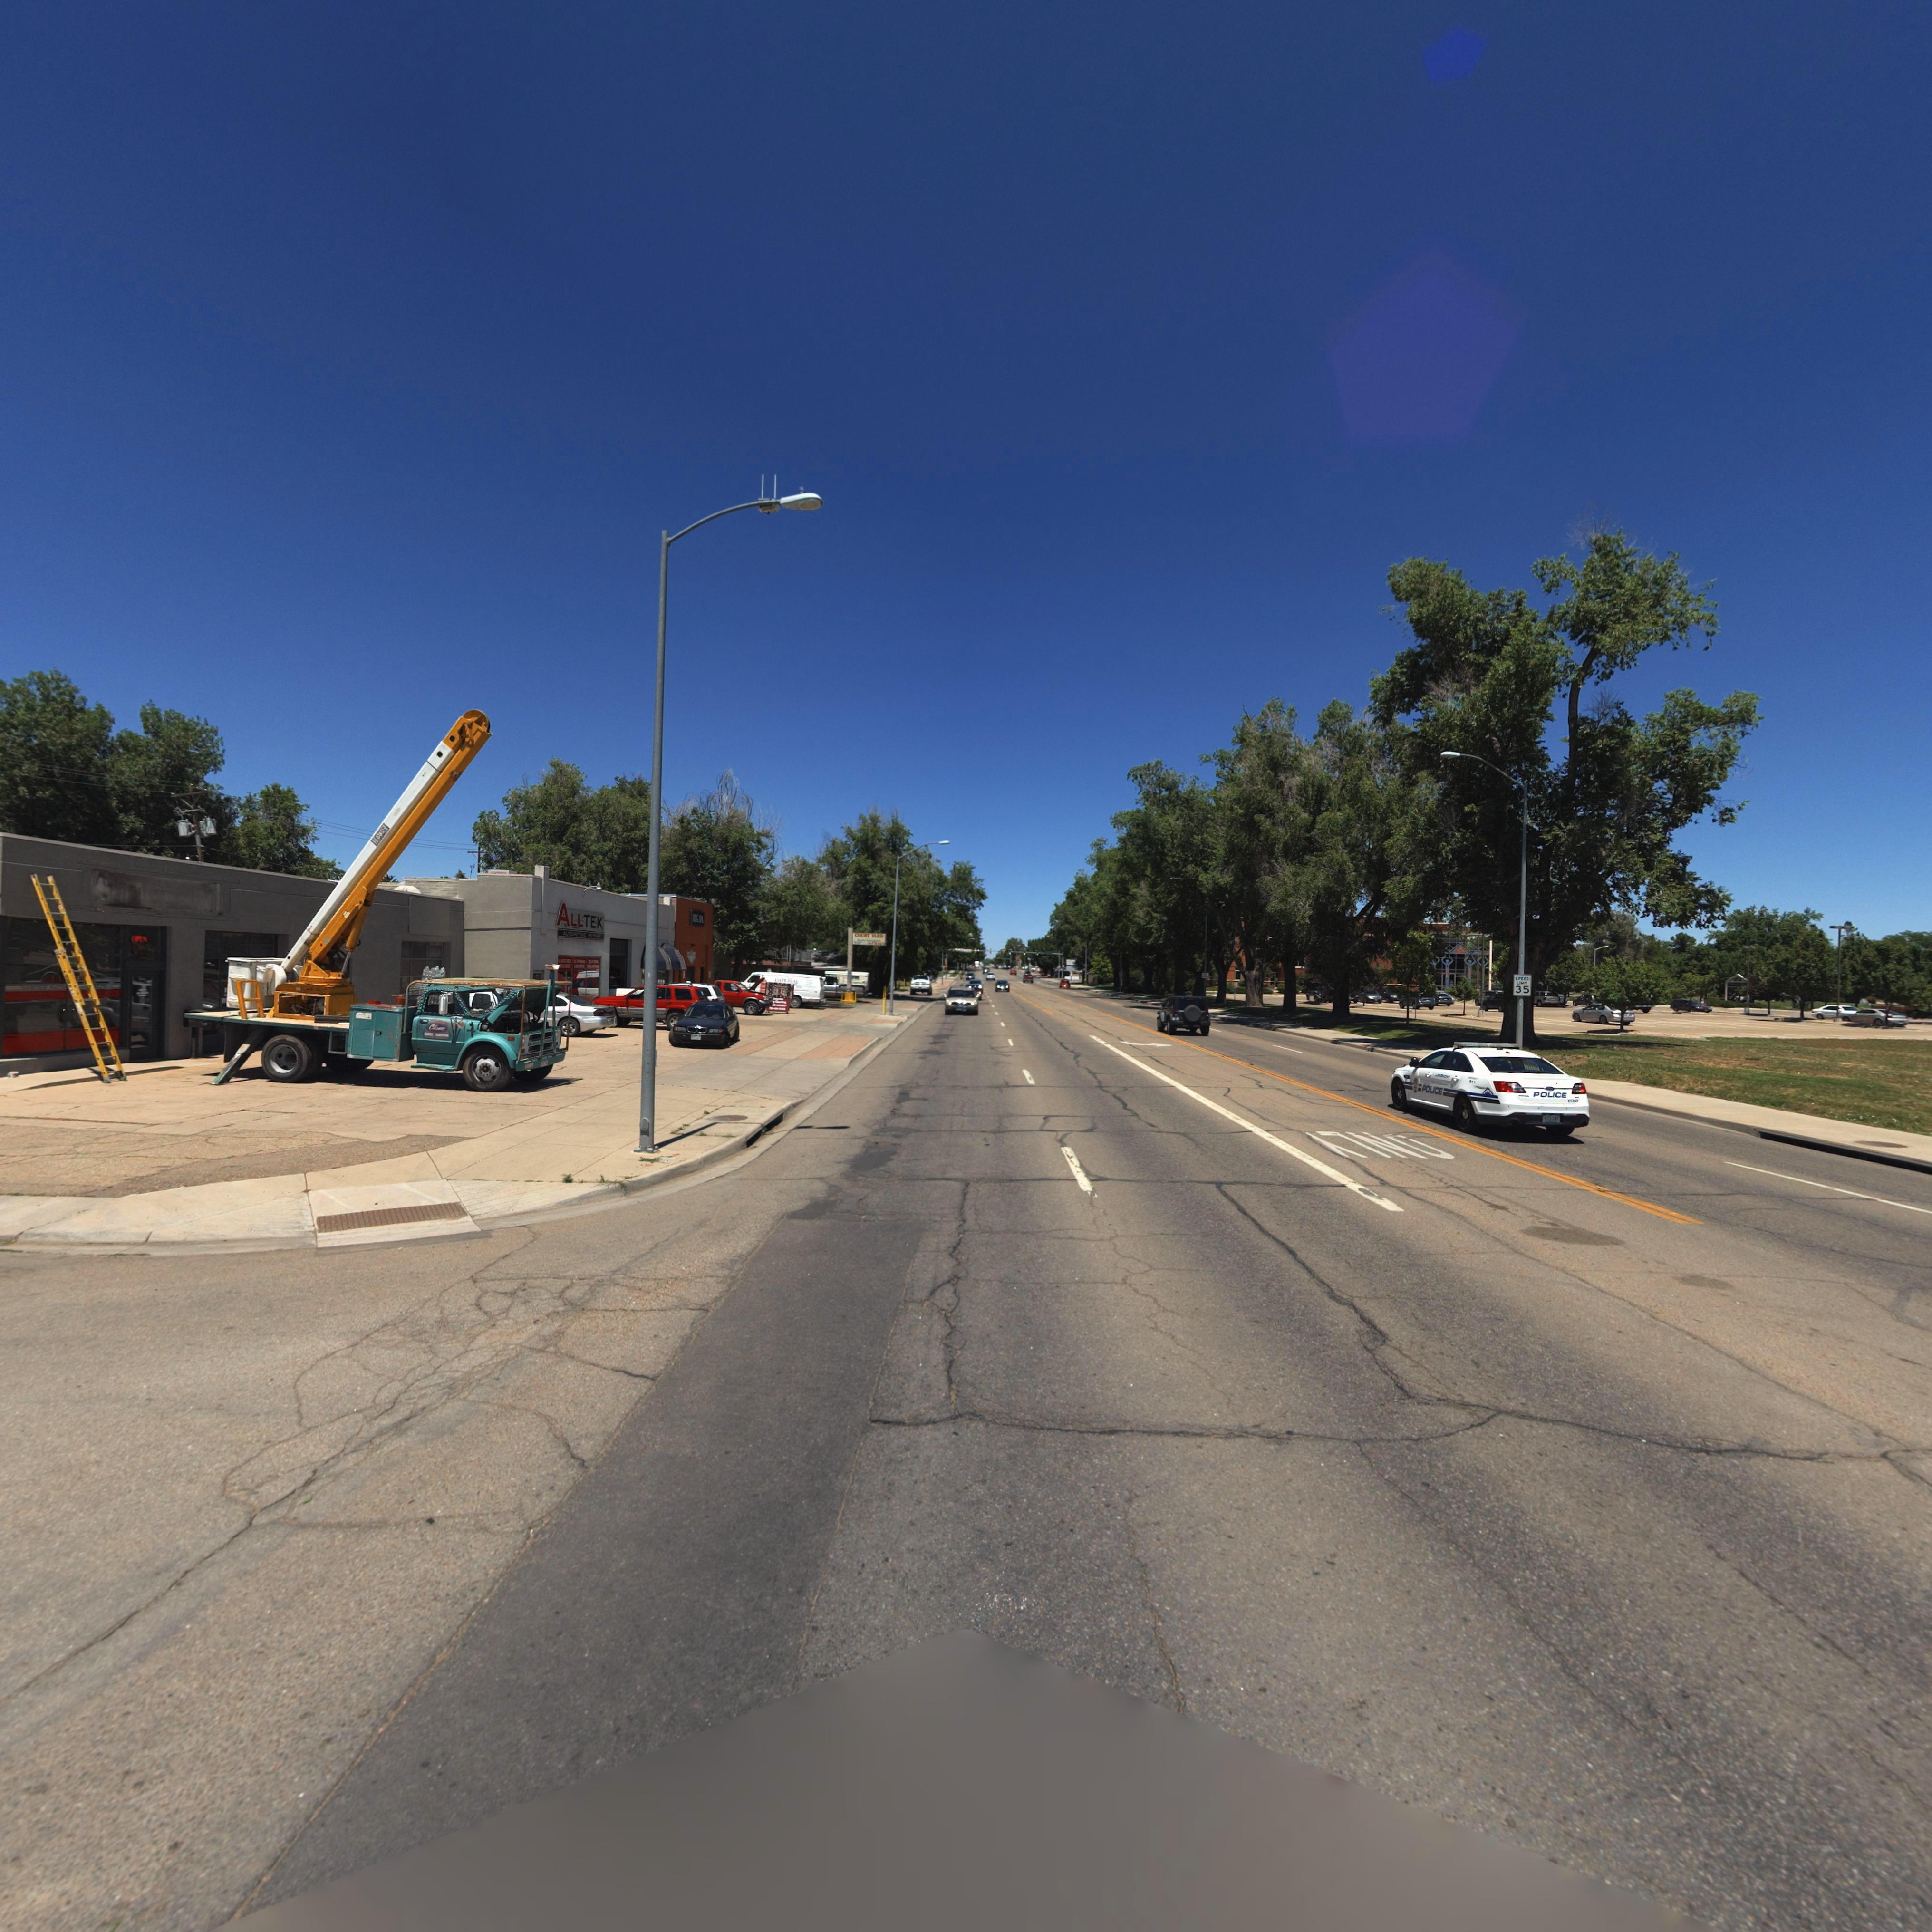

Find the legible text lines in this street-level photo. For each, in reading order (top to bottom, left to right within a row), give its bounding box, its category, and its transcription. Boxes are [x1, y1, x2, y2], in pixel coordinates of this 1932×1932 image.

[556, 903, 604, 930] BusinessName: ALLTEK
[562, 931, 600, 938] BusinessName: AUTO****** REP***
[854, 933, 883, 937] BusinessName: COURT YARD